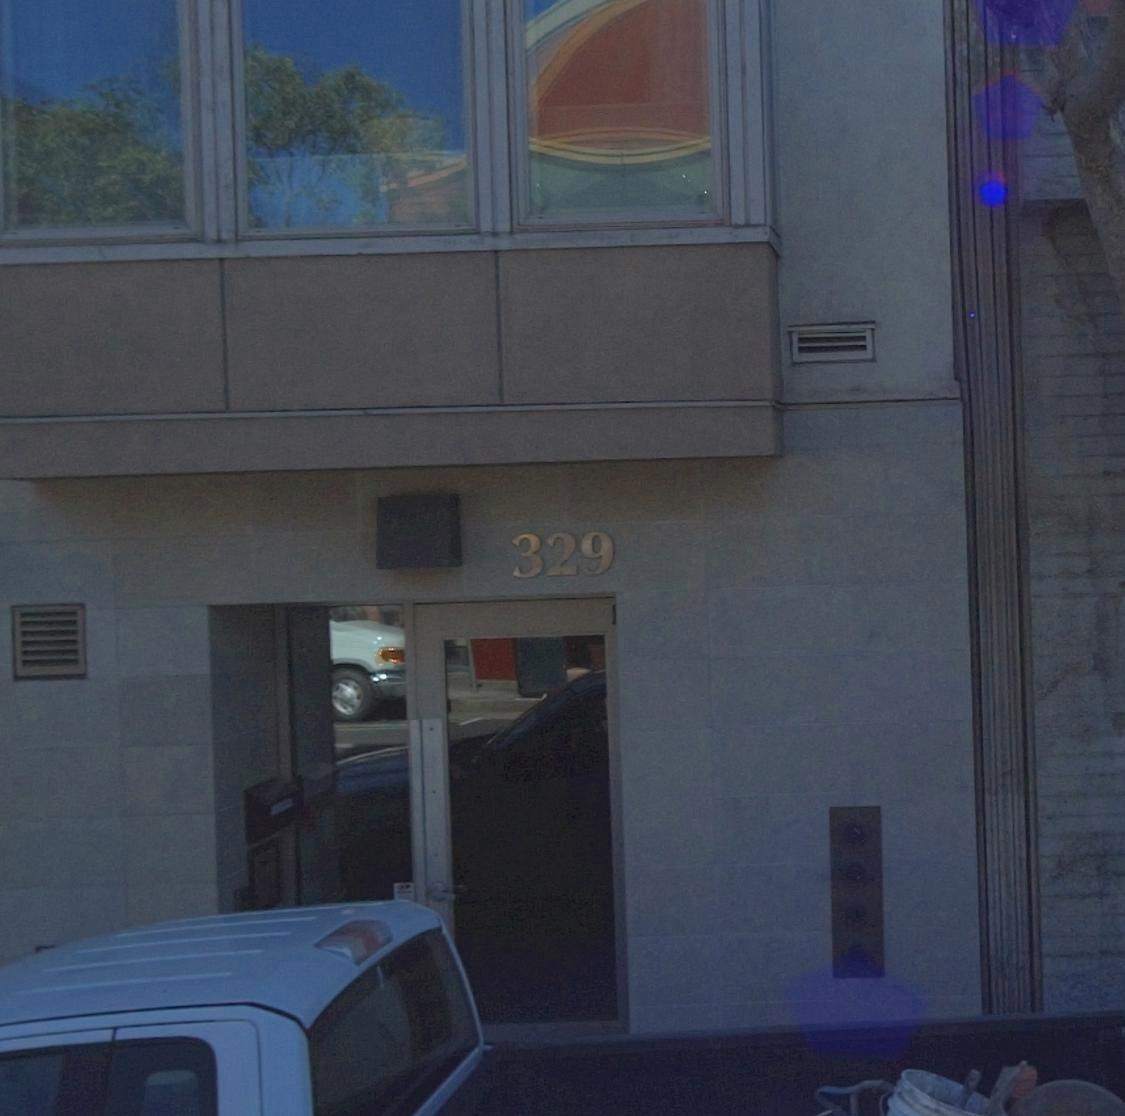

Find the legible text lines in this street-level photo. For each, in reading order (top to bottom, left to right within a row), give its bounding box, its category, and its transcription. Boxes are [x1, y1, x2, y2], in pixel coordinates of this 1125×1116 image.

[510, 526, 616, 583] StreetNumber: 329